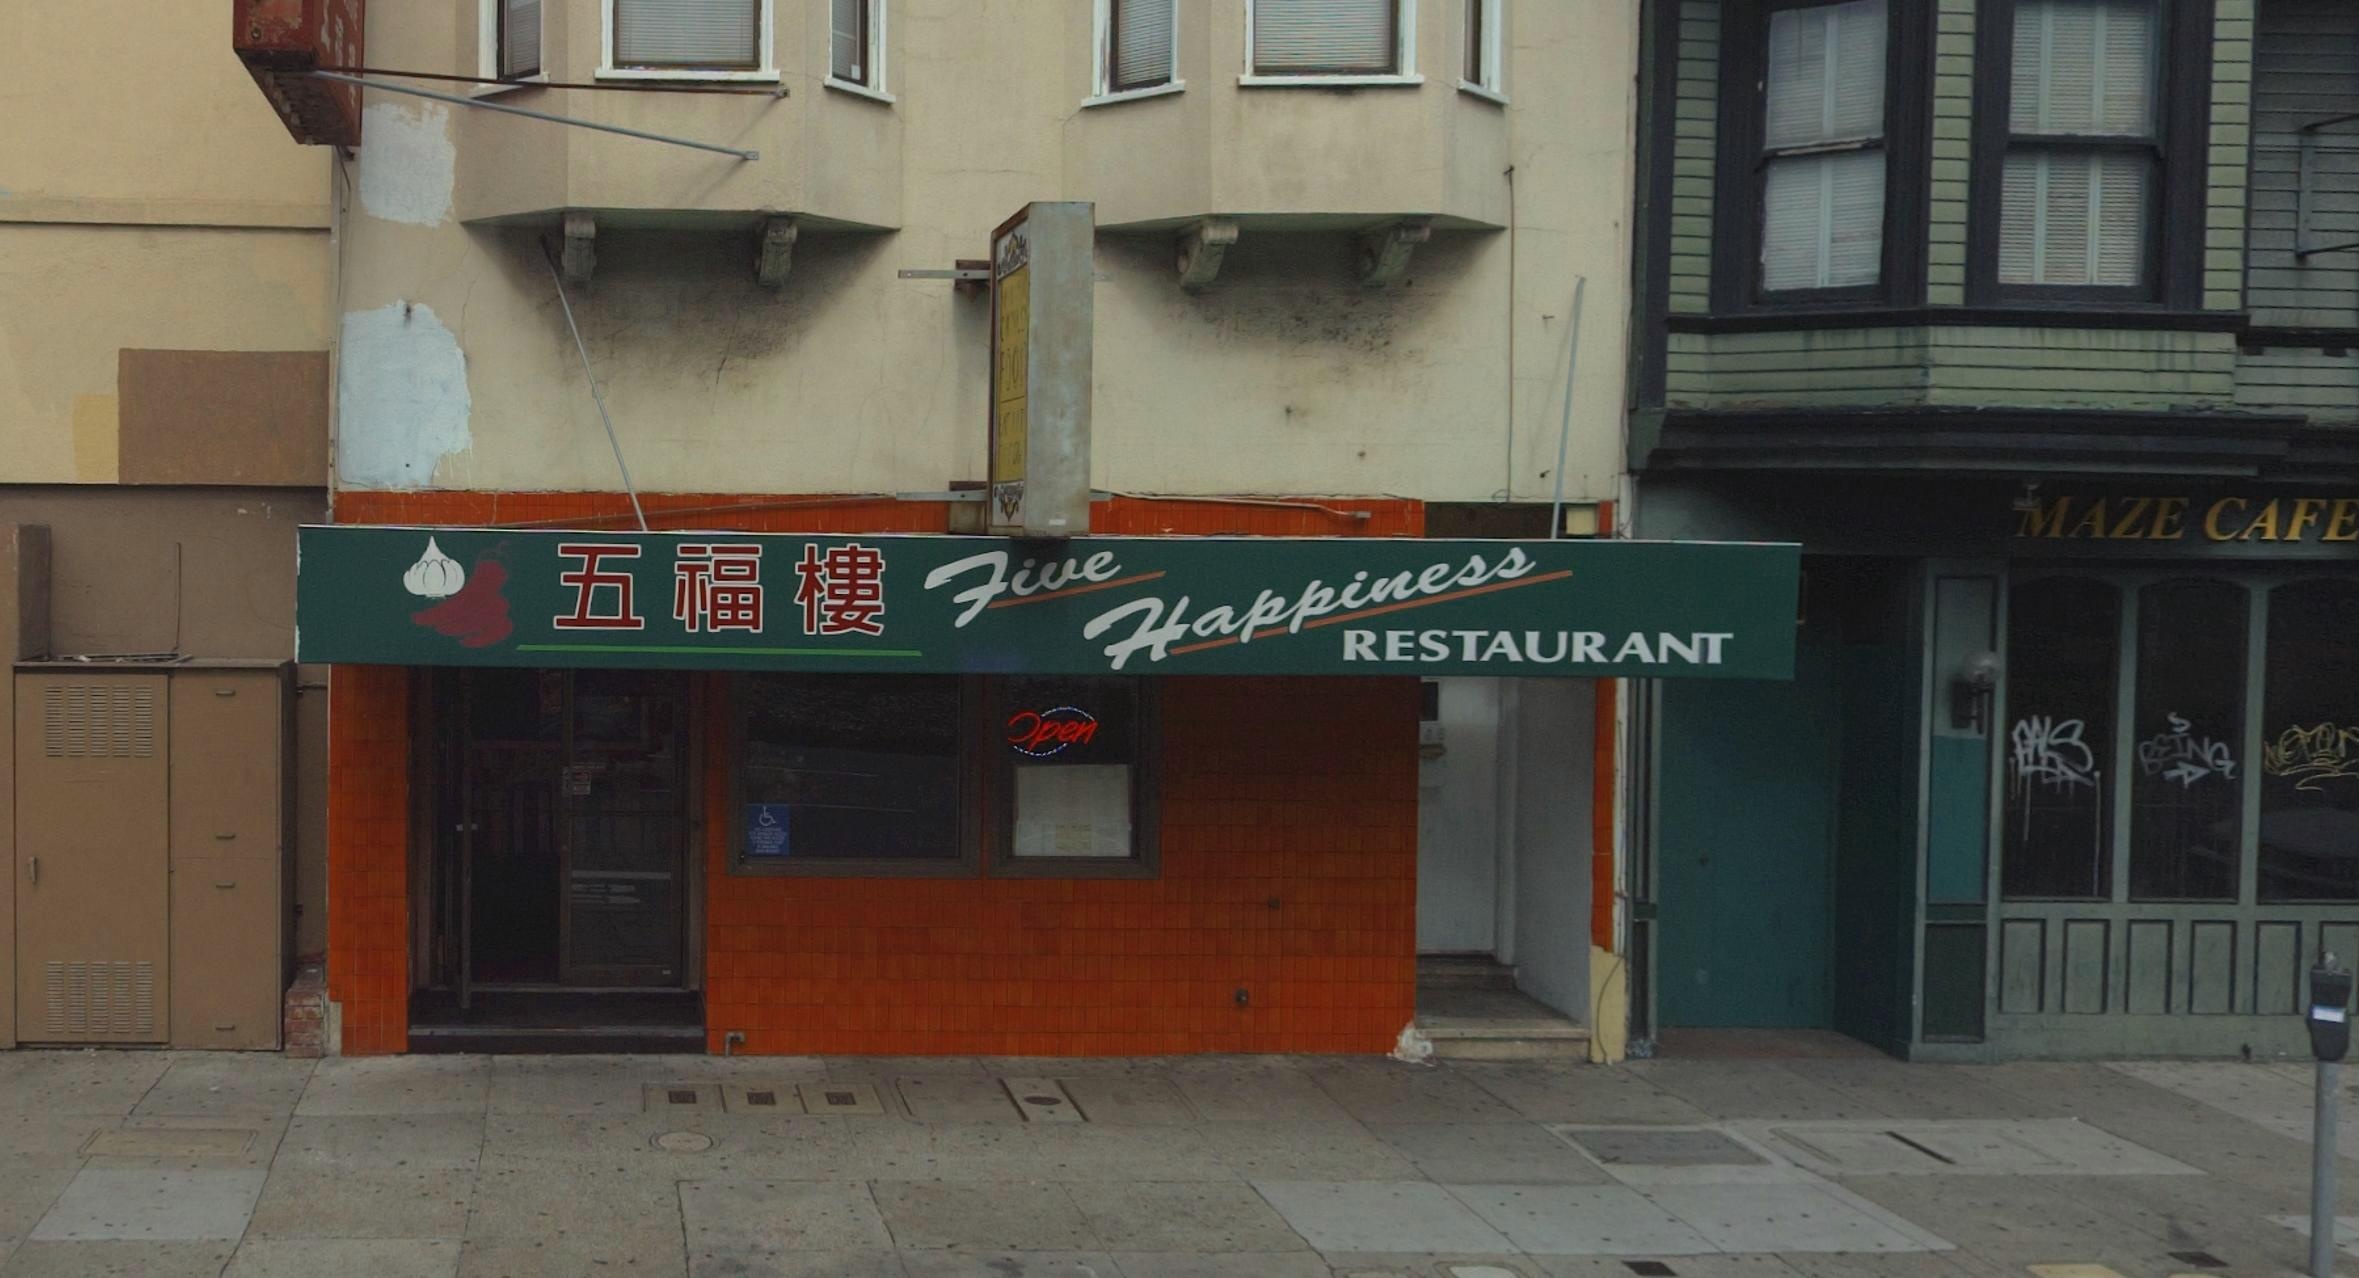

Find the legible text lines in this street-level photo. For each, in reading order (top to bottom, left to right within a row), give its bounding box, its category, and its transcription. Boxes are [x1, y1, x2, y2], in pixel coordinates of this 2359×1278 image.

[2006, 489, 2358, 545] BusinessName: MAZE CAFE
[917, 544, 1126, 635] BusinessName: Five
[1076, 539, 1546, 675] BusinessName: Happiness
[1339, 625, 1739, 666] None: RESTAURANT
[1002, 709, 1102, 757] None: *pen
[2132, 726, 2242, 784] None: BEING